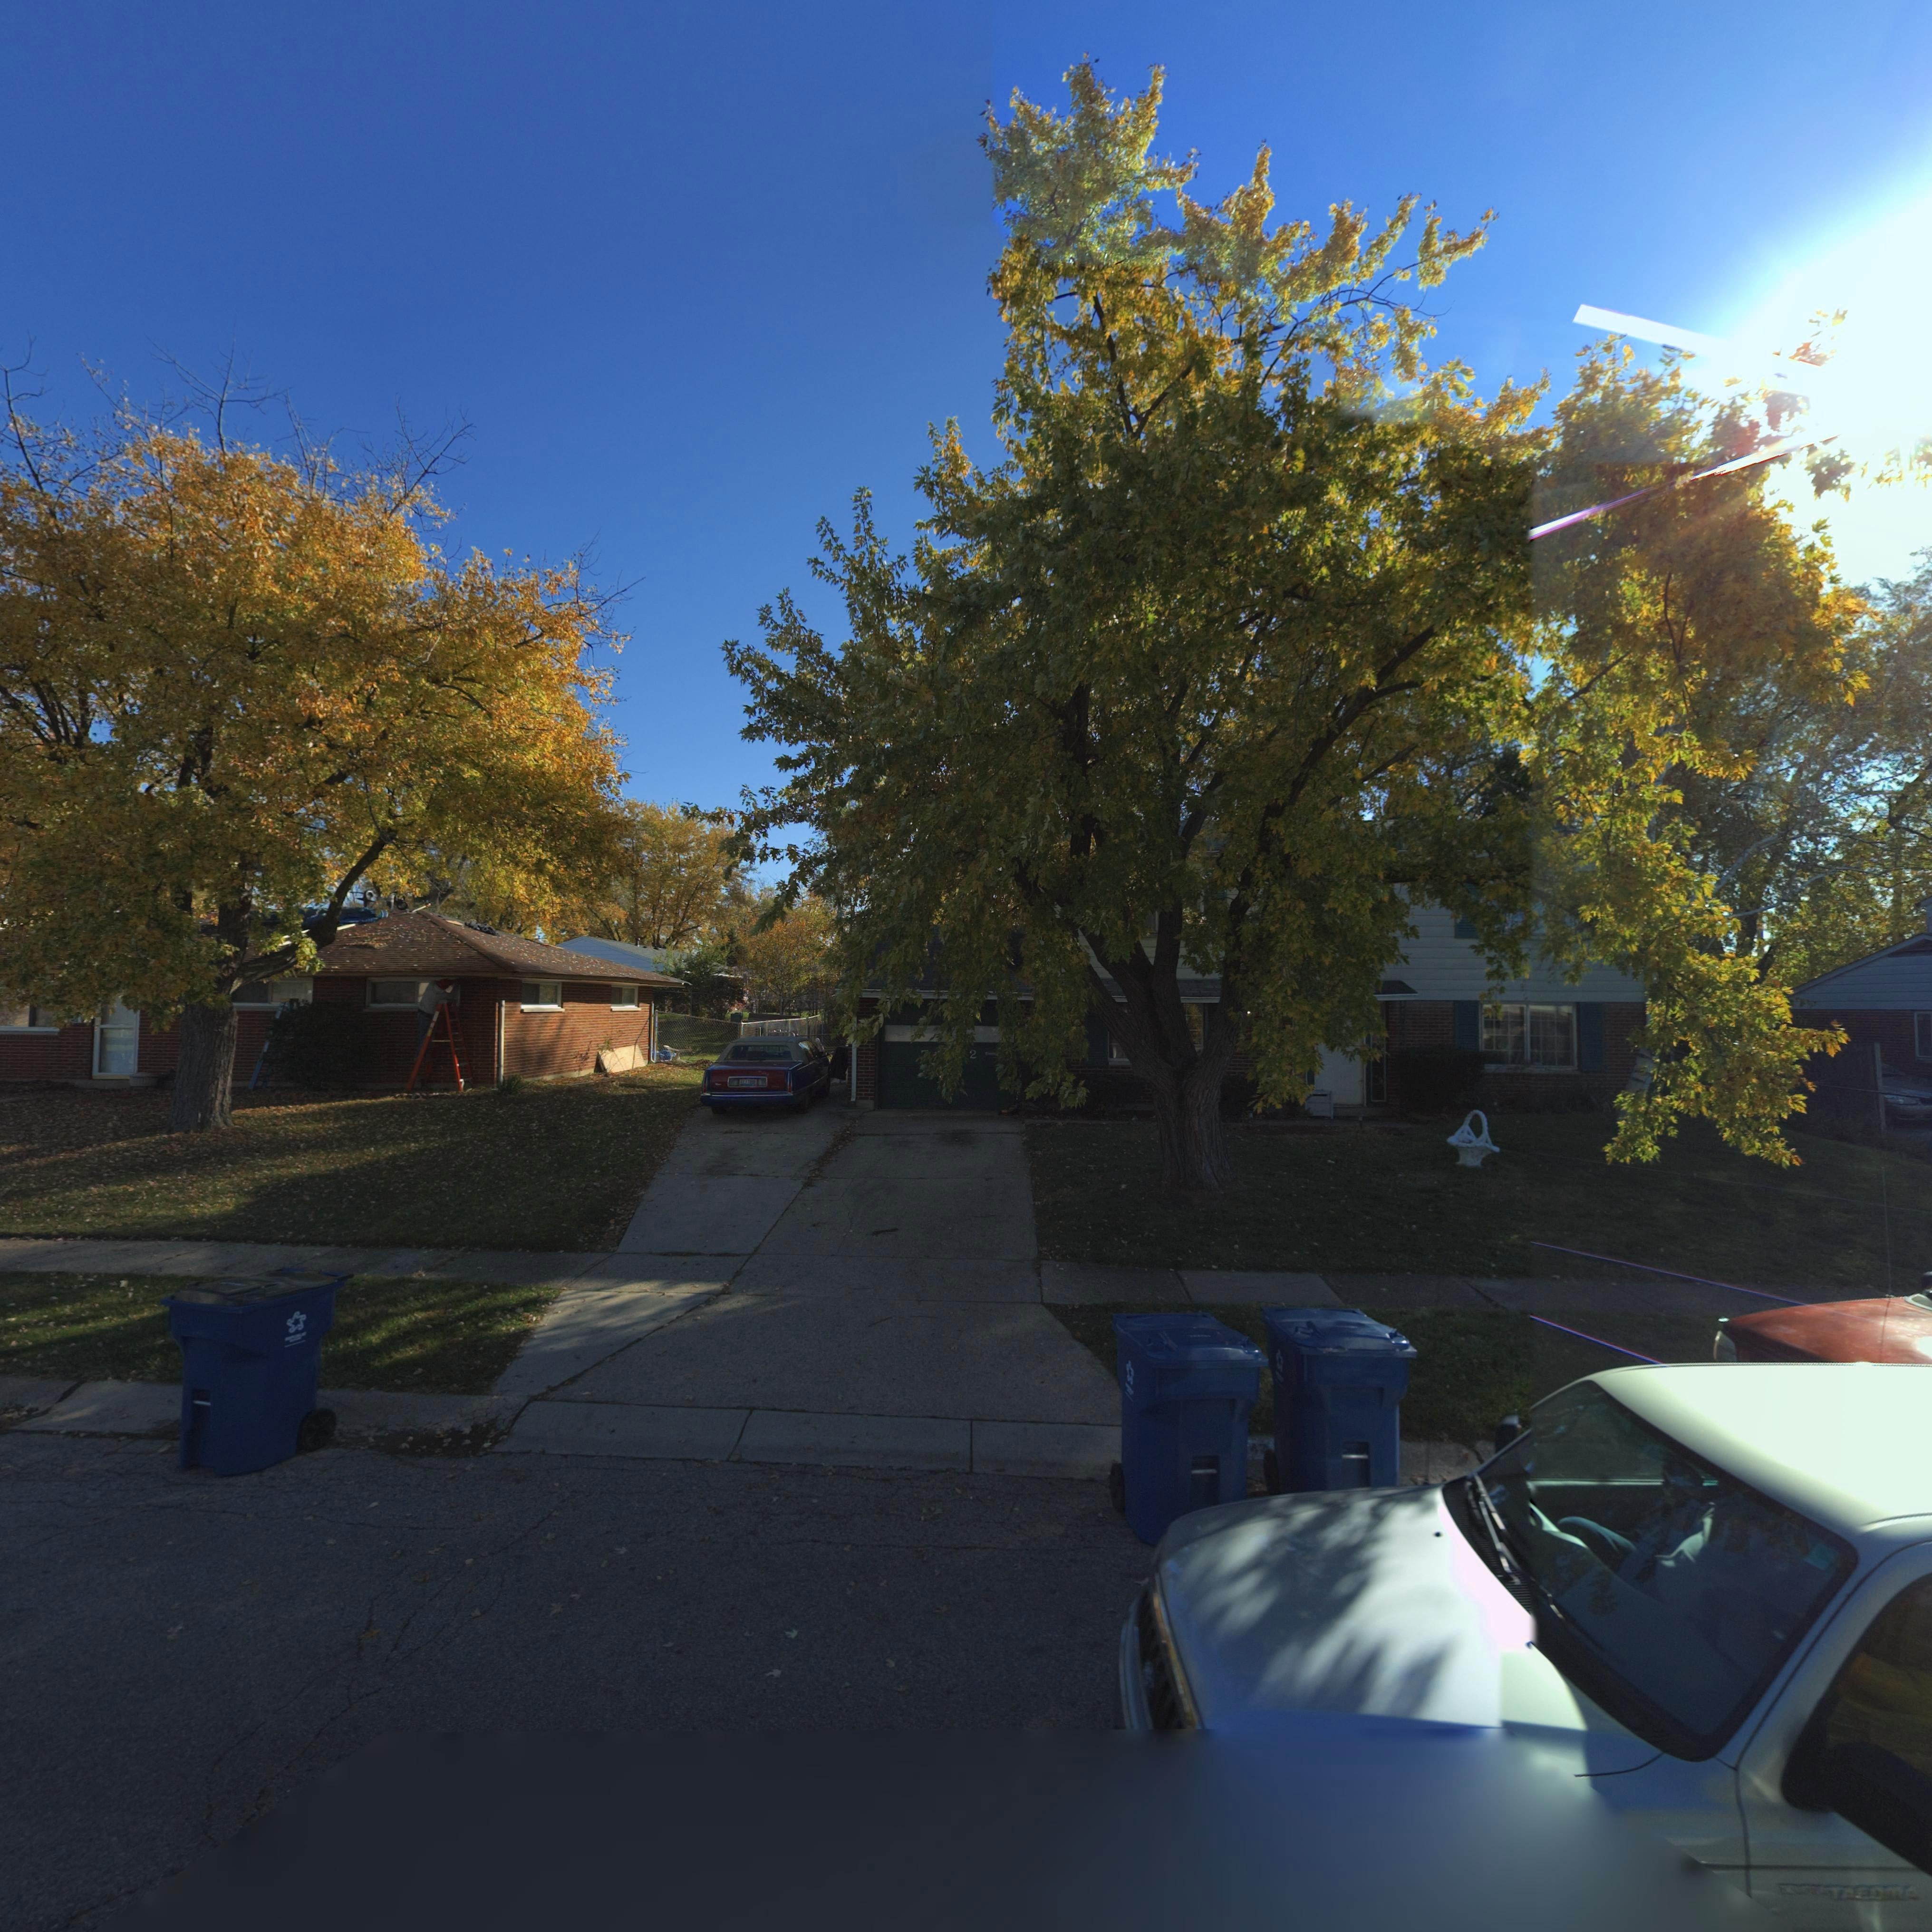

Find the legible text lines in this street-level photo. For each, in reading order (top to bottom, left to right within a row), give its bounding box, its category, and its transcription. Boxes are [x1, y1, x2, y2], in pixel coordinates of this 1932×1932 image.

[969, 1049, 977, 1059] StreetNumber: 2